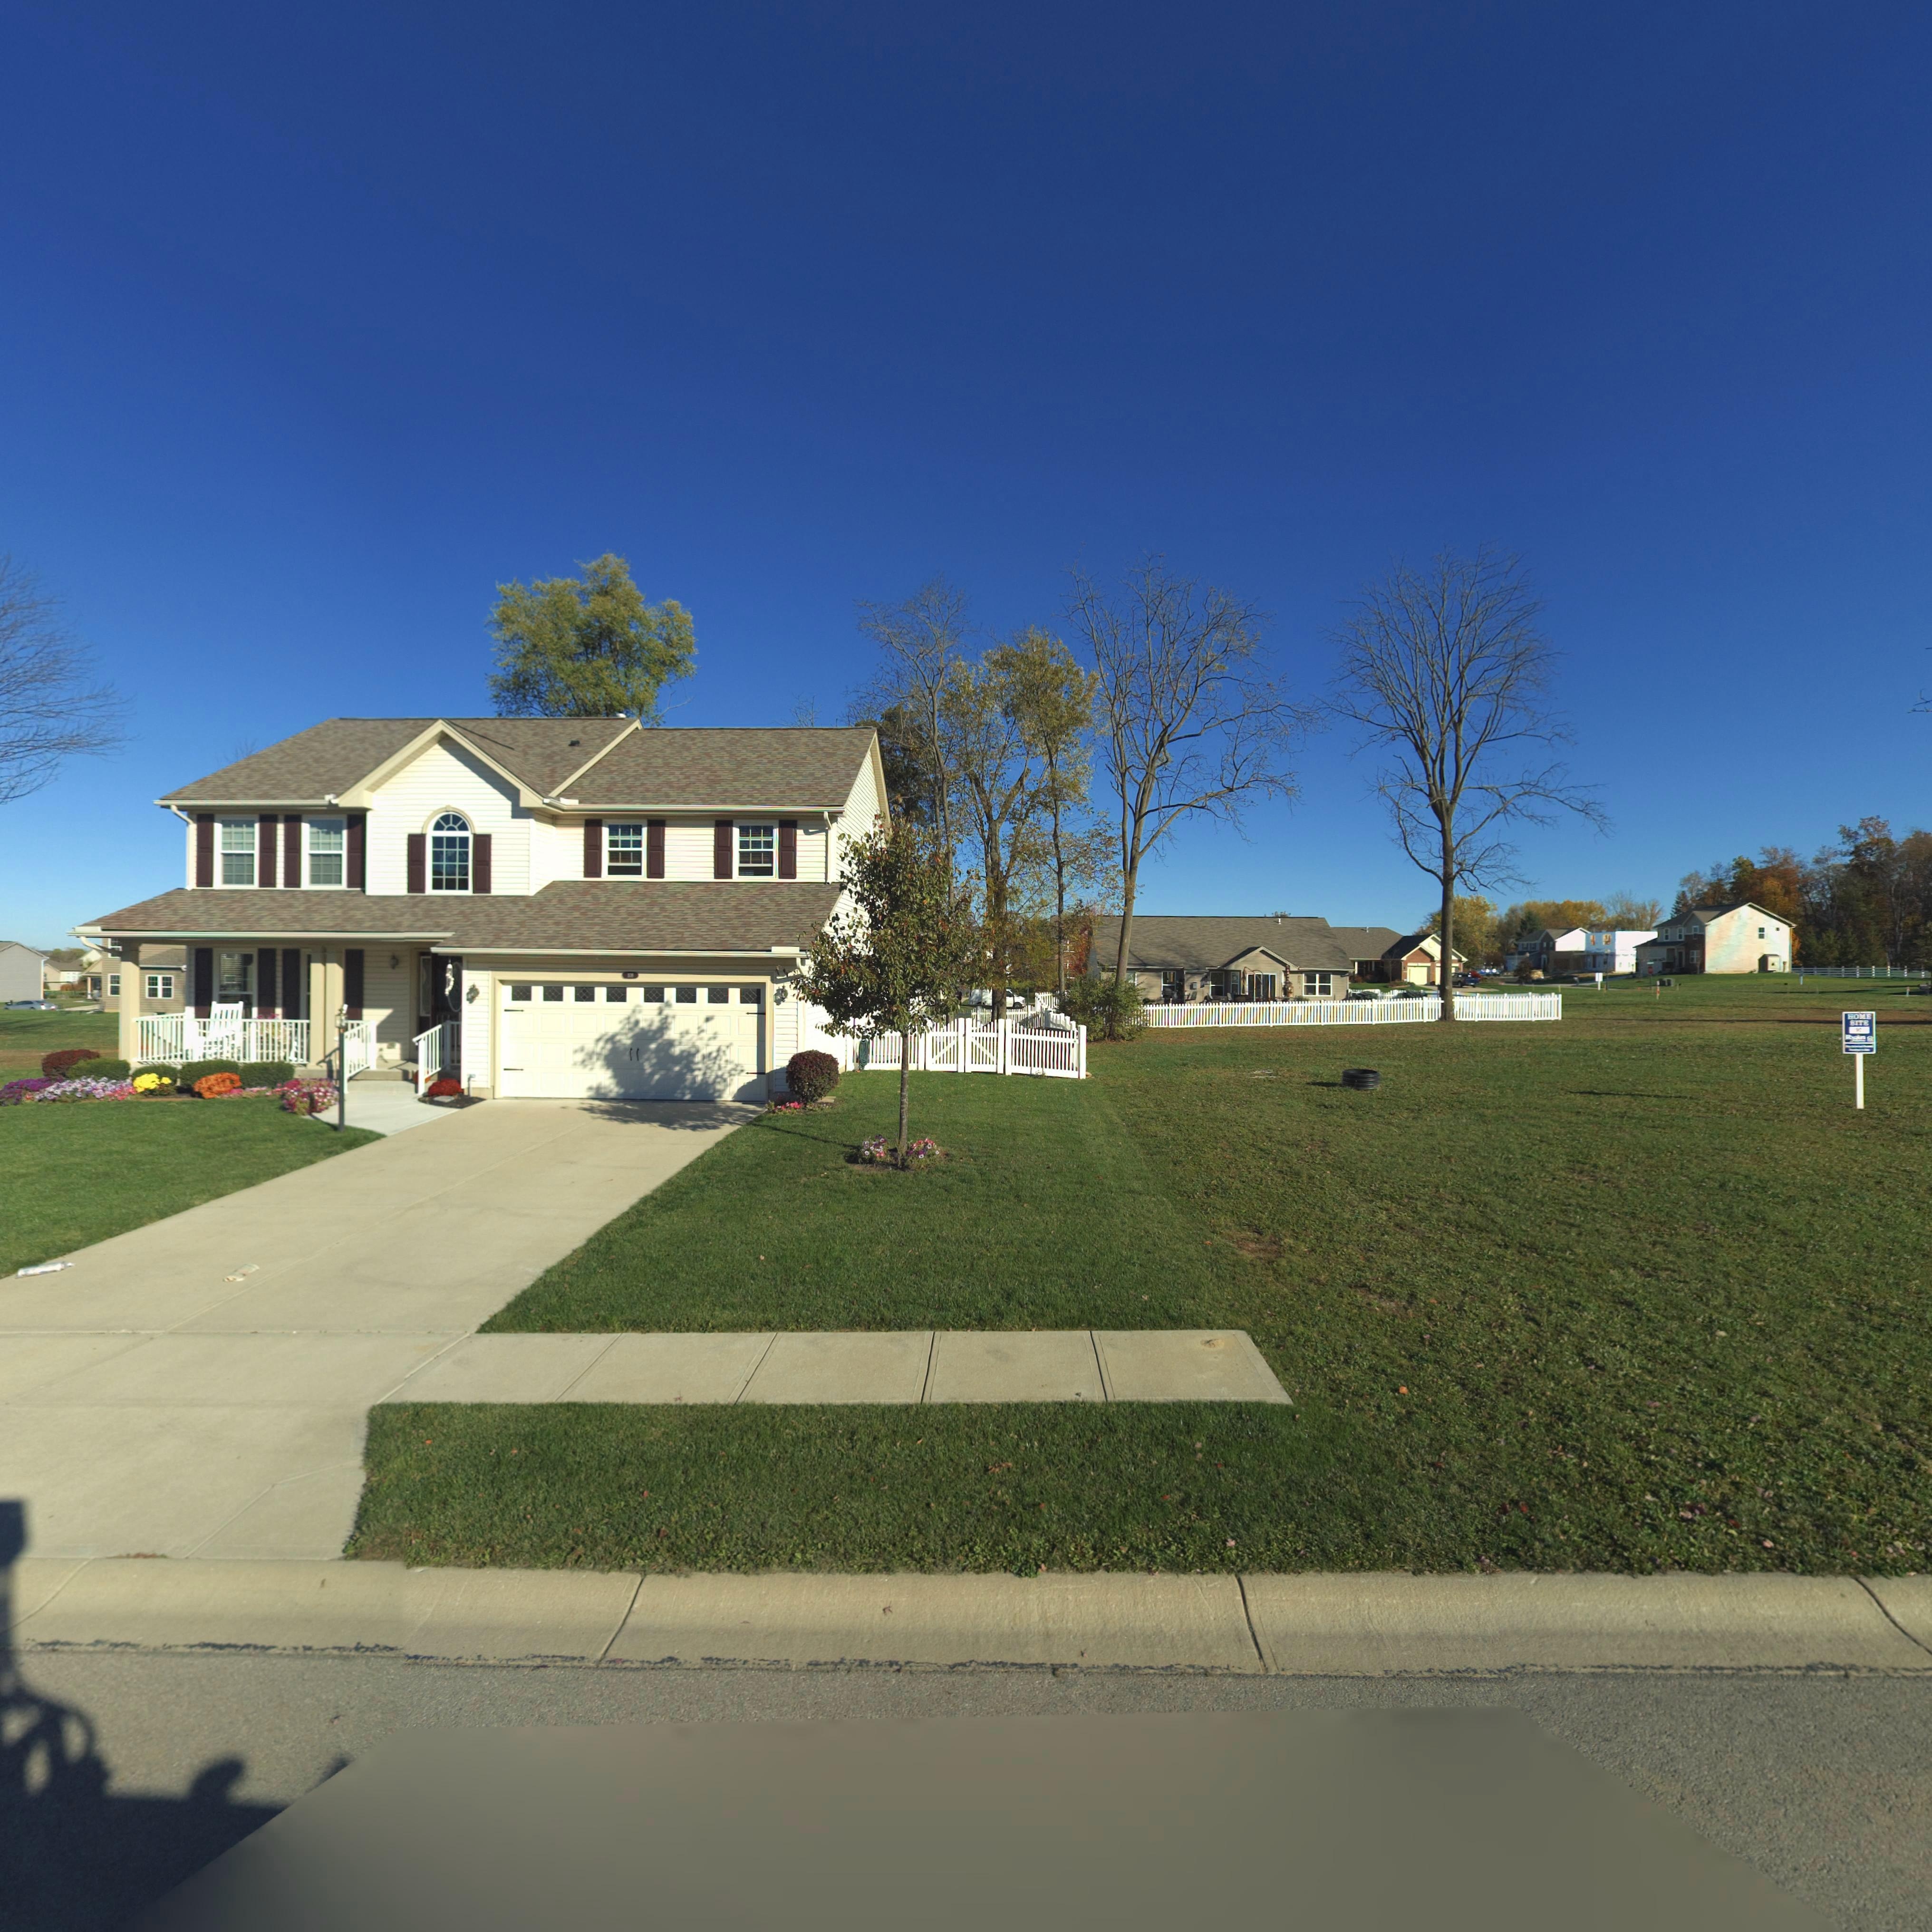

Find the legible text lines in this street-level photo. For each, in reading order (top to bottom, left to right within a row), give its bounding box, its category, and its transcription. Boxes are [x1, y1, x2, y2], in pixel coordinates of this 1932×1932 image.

[627, 972, 635, 978] StreetNumber: 108